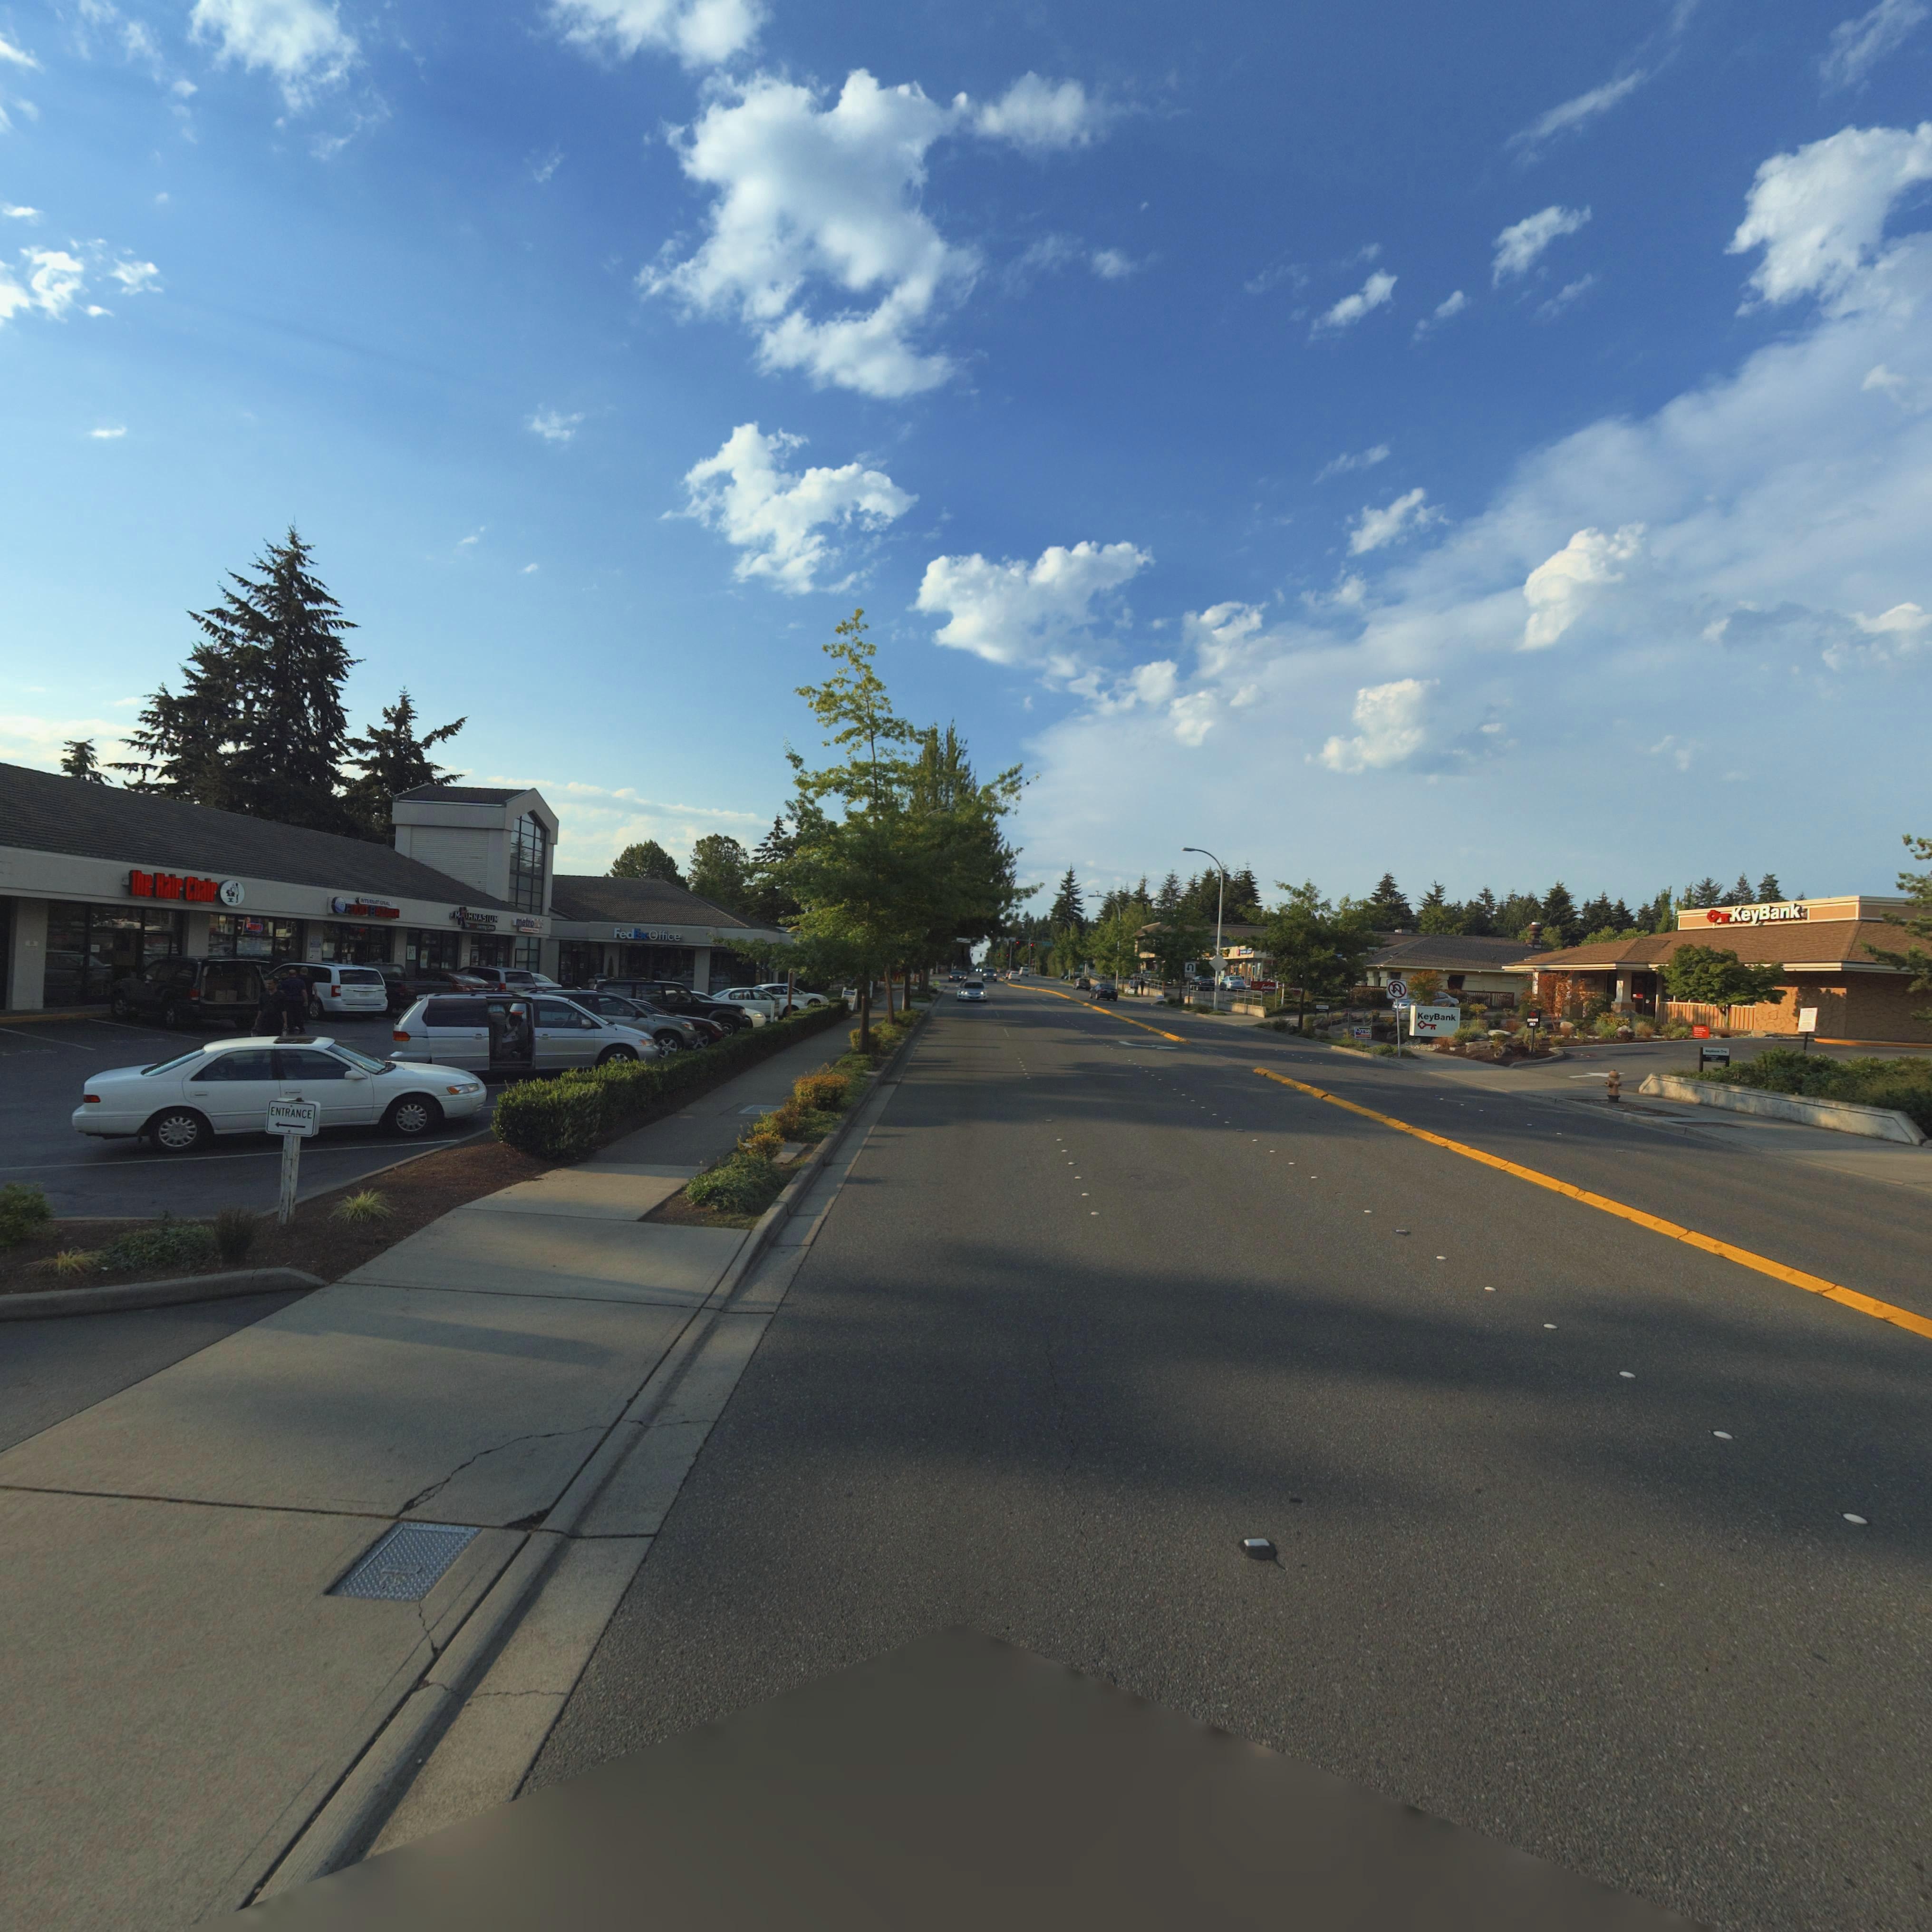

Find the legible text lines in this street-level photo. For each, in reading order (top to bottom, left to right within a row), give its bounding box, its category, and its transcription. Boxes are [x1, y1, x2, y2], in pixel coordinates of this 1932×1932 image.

[130, 868, 218, 903] BusinessName: the Hair Chair
[454, 911, 499, 922] BusinessName: M**HNASIUM
[515, 917, 543, 928] BusinessName: metro***
[1732, 902, 1802, 926] BusinessName: KeyBank
[613, 927, 681, 941] BusinessName: FedEx Office
[1418, 1013, 1455, 1022] BusinessName: KeyBank